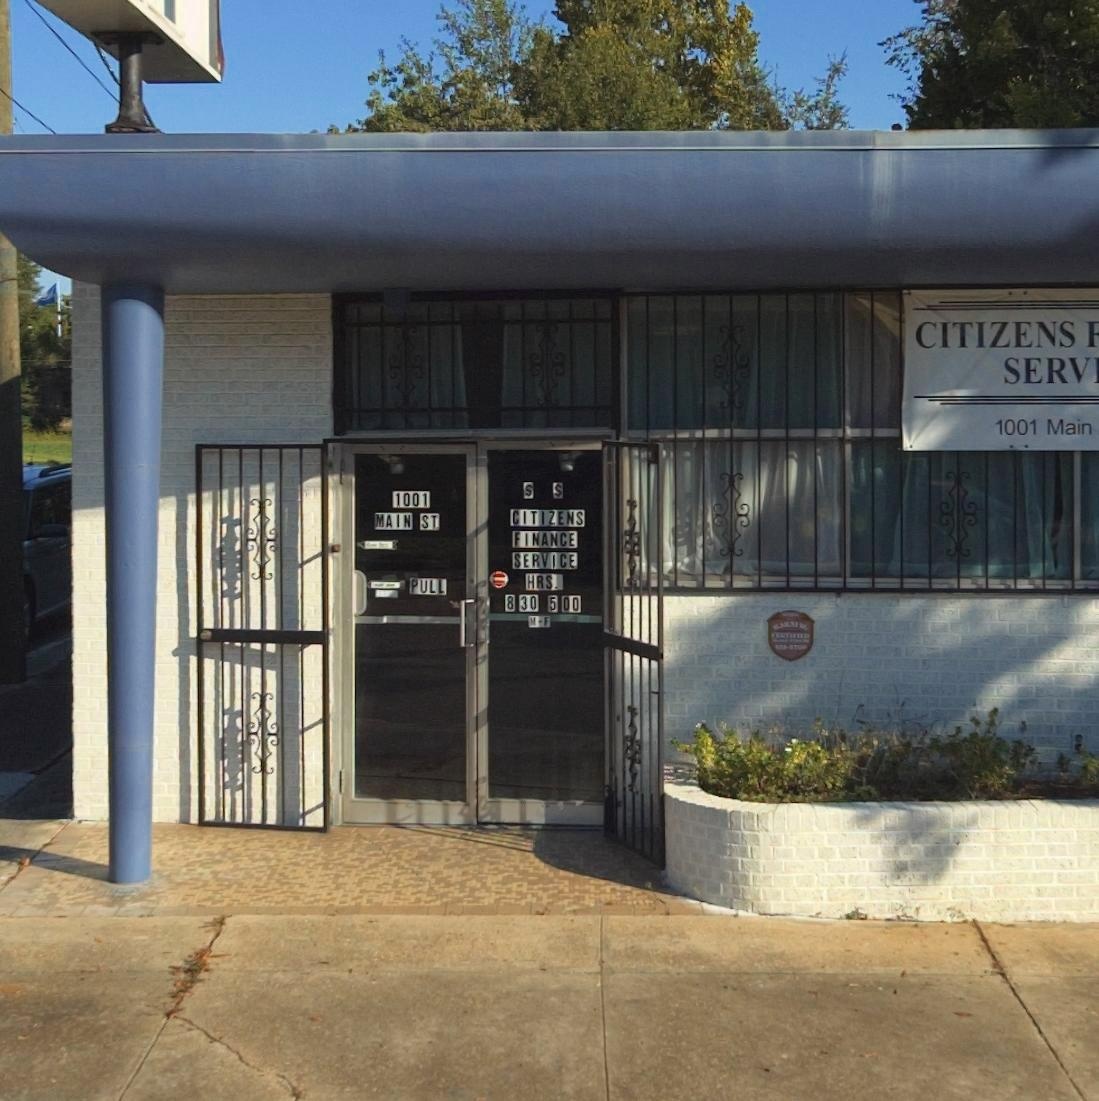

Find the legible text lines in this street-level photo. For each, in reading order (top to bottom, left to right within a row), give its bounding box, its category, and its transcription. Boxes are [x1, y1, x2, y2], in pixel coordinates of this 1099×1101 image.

[911, 318, 1076, 348] BusinessName: CITIZENS
[999, 353, 1091, 385] BusinessName: SERV
[992, 416, 1039, 437] StreetNumber: 1001
[1044, 416, 1093, 437] StreetName: Main
[393, 492, 429, 508] StreetNumber: 1001
[522, 482, 564, 500] None: S S
[372, 511, 439, 530] StreetName: MAIN ST
[511, 509, 585, 527] BusinessName: CITIZENS
[511, 530, 577, 547] BusinessName: FINANCE
[510, 550, 580, 570] BusinessName: SERVICE
[410, 577, 446, 594] None: PULL
[524, 572, 566, 590] None: HRS.
[504, 593, 584, 612] None: 8 30 5 00
[527, 615, 549, 626] None: M-F